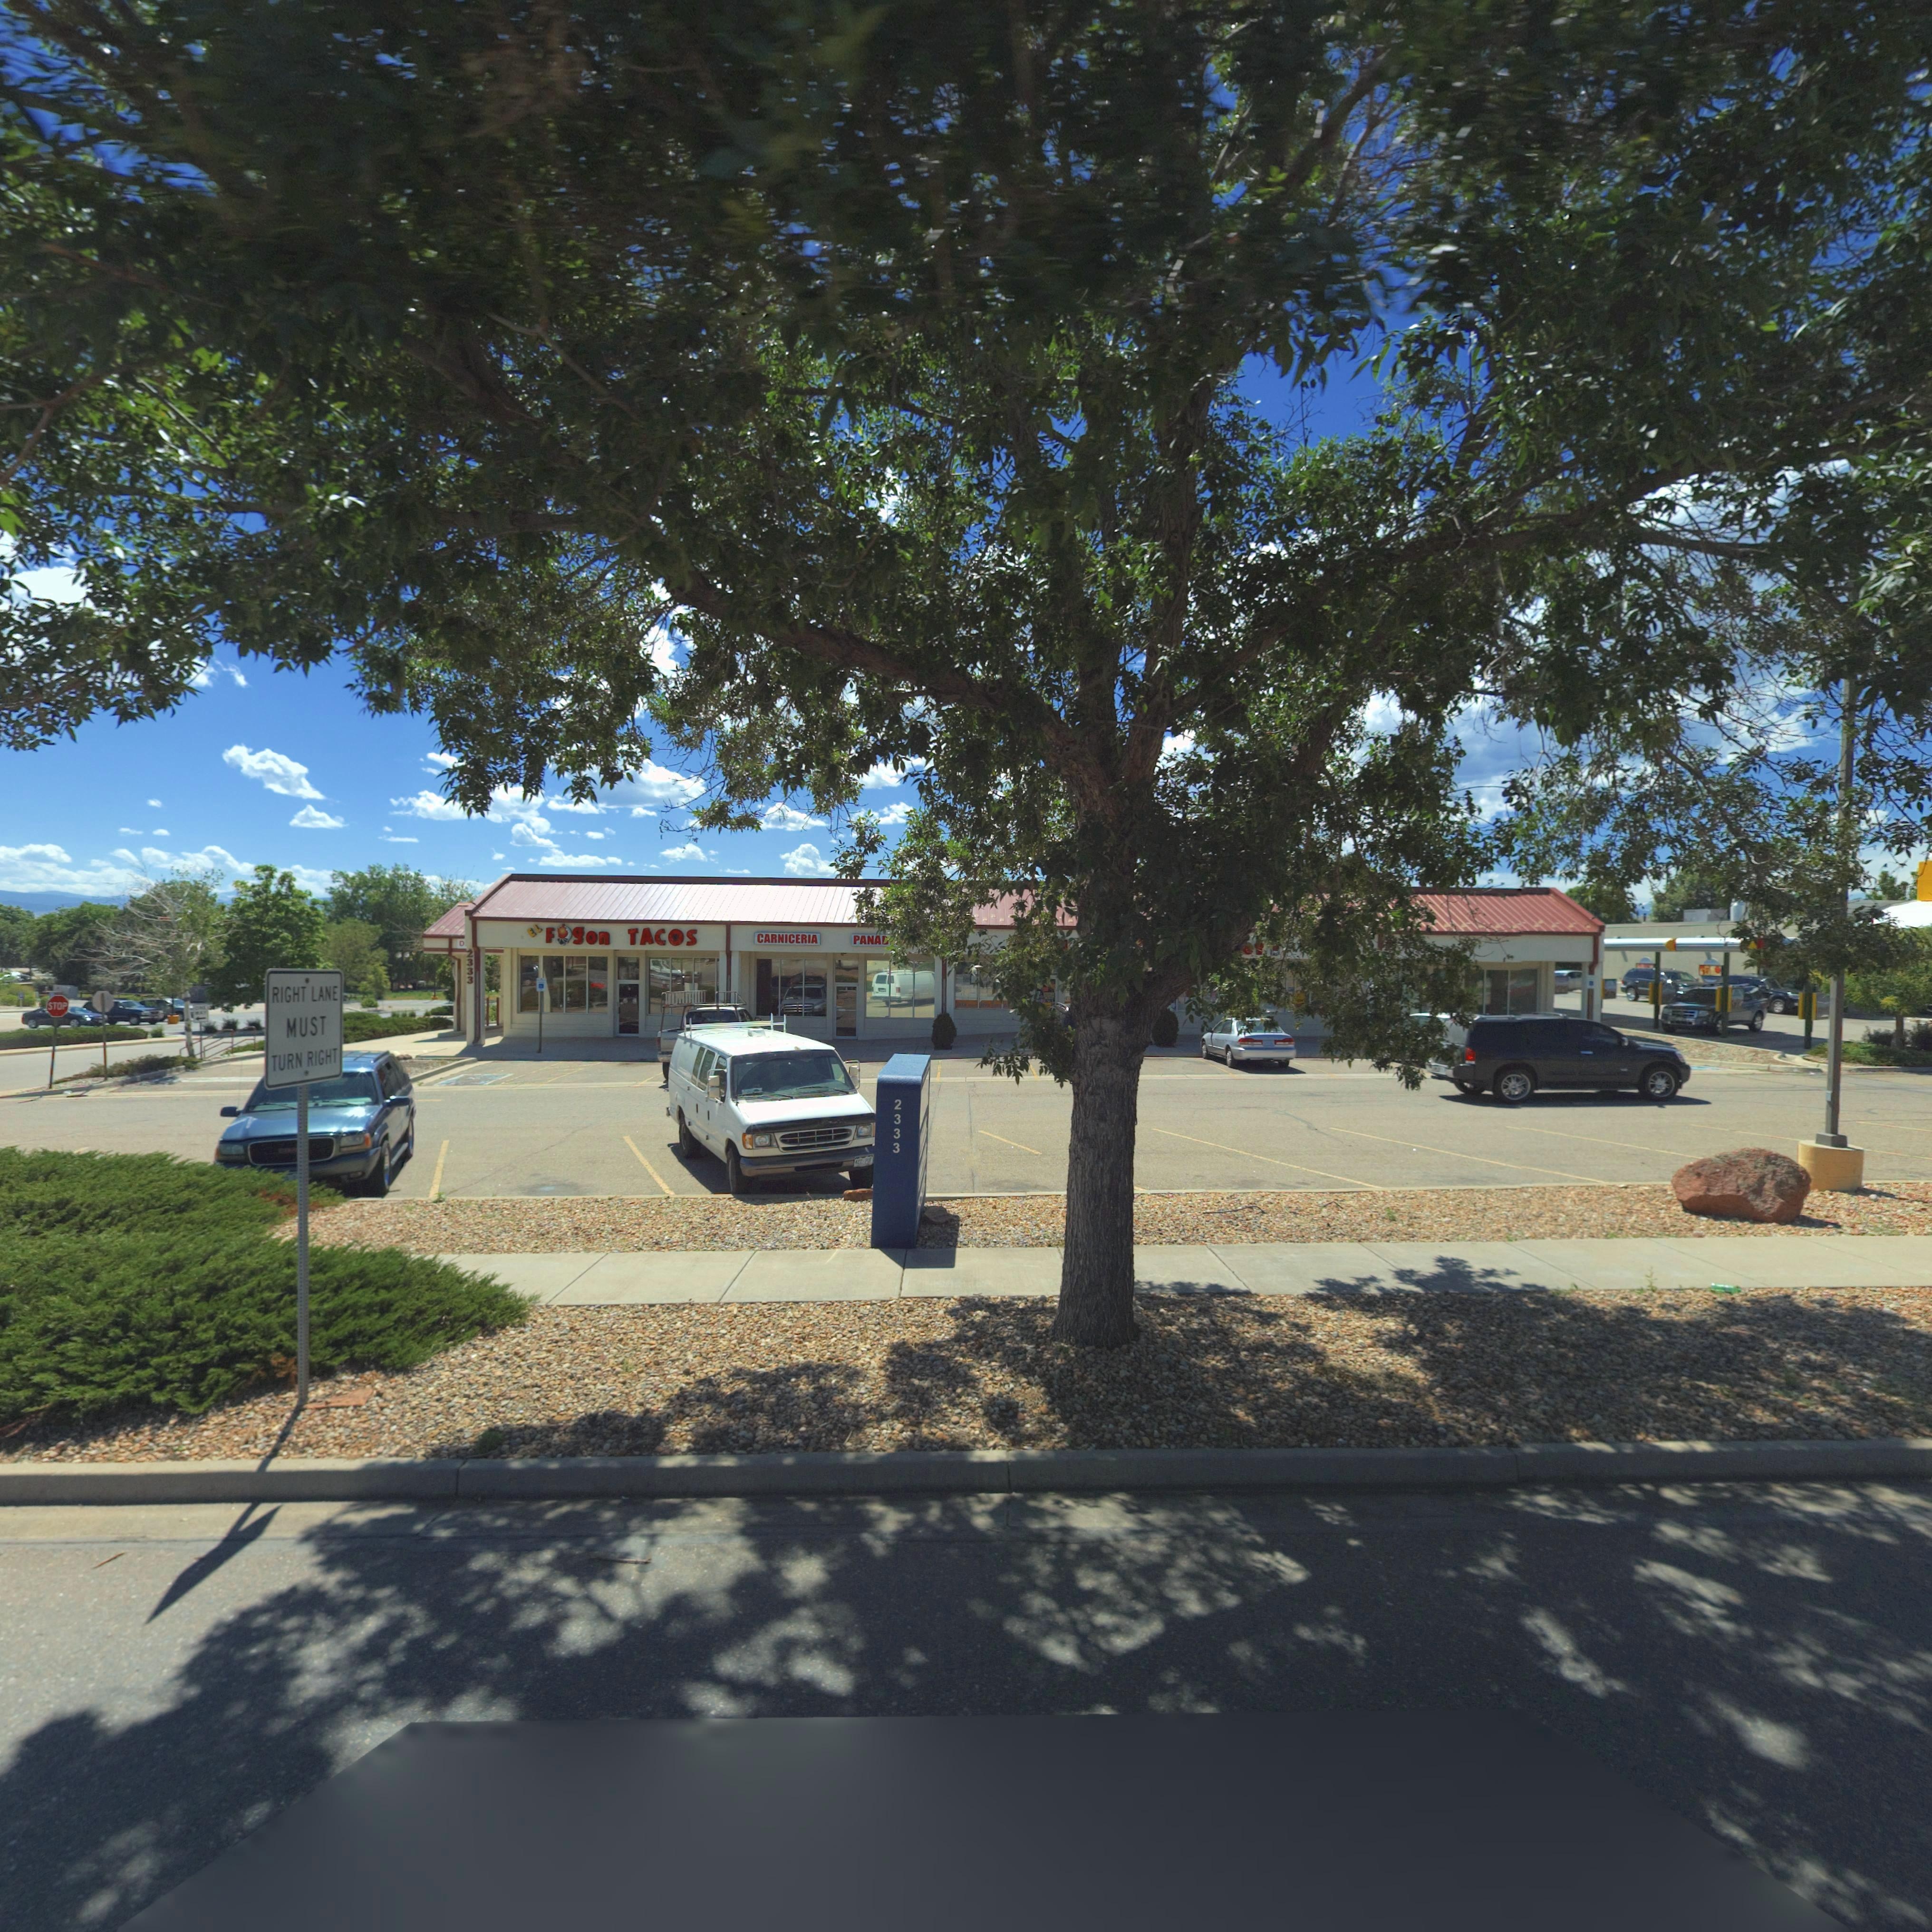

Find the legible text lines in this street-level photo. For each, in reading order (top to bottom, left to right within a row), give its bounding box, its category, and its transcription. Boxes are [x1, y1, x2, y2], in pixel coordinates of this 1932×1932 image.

[526, 922, 542, 938] BusinessName: EL
[545, 926, 698, 946] BusinessName: F*gon TACOS
[757, 934, 817, 944] BusinessName: CARNICERIA
[853, 935, 889, 945] BusinessName: PANA*
[466, 949, 473, 984] StreetNumber: 2333
[892, 1098, 901, 1154] BusinessName: 2333